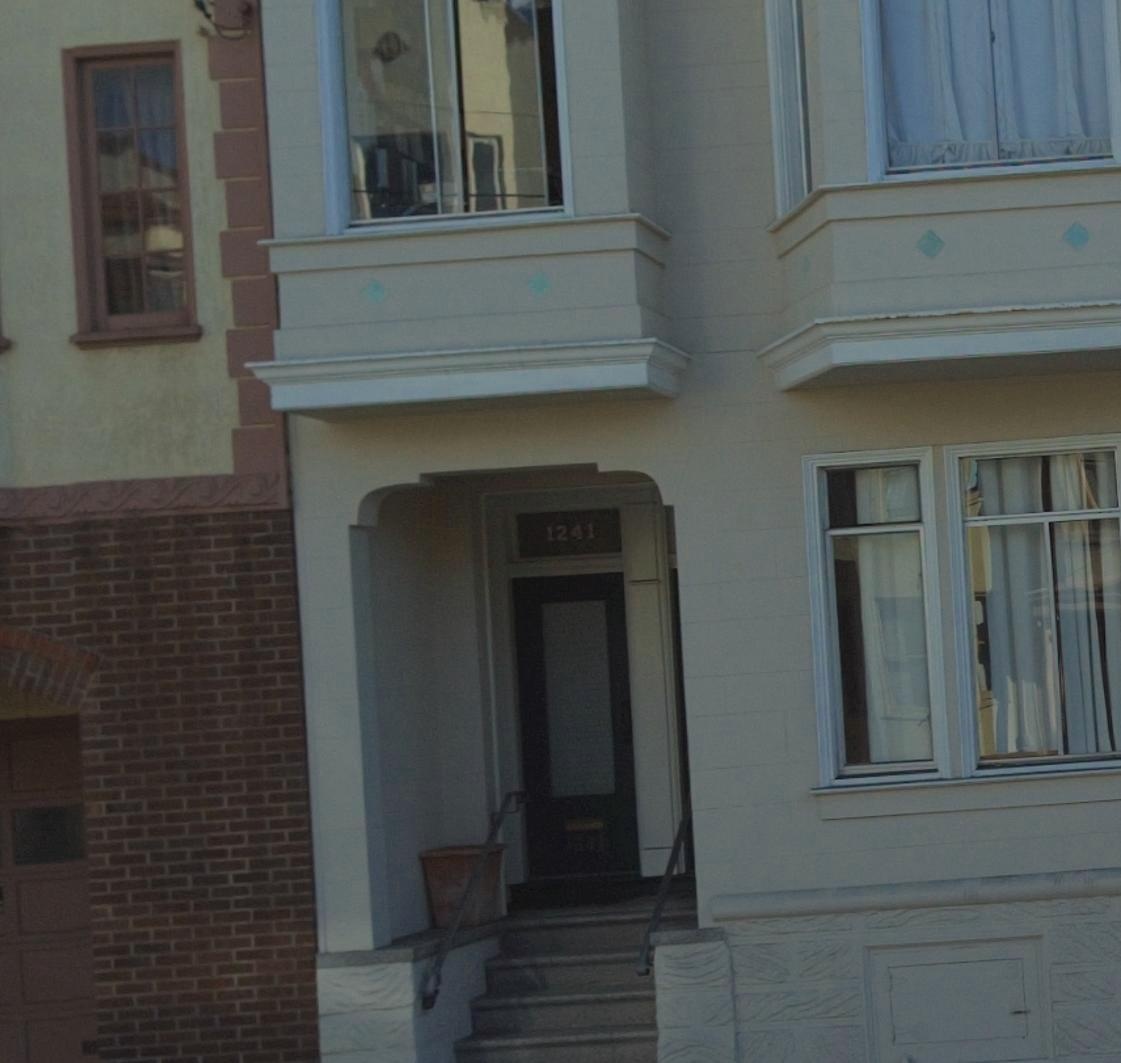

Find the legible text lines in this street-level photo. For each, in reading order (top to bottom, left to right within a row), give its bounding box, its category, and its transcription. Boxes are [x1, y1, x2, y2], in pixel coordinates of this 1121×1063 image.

[542, 521, 597, 545] StreetNumber: 1241
[564, 830, 608, 856] StreetNumber: 1241